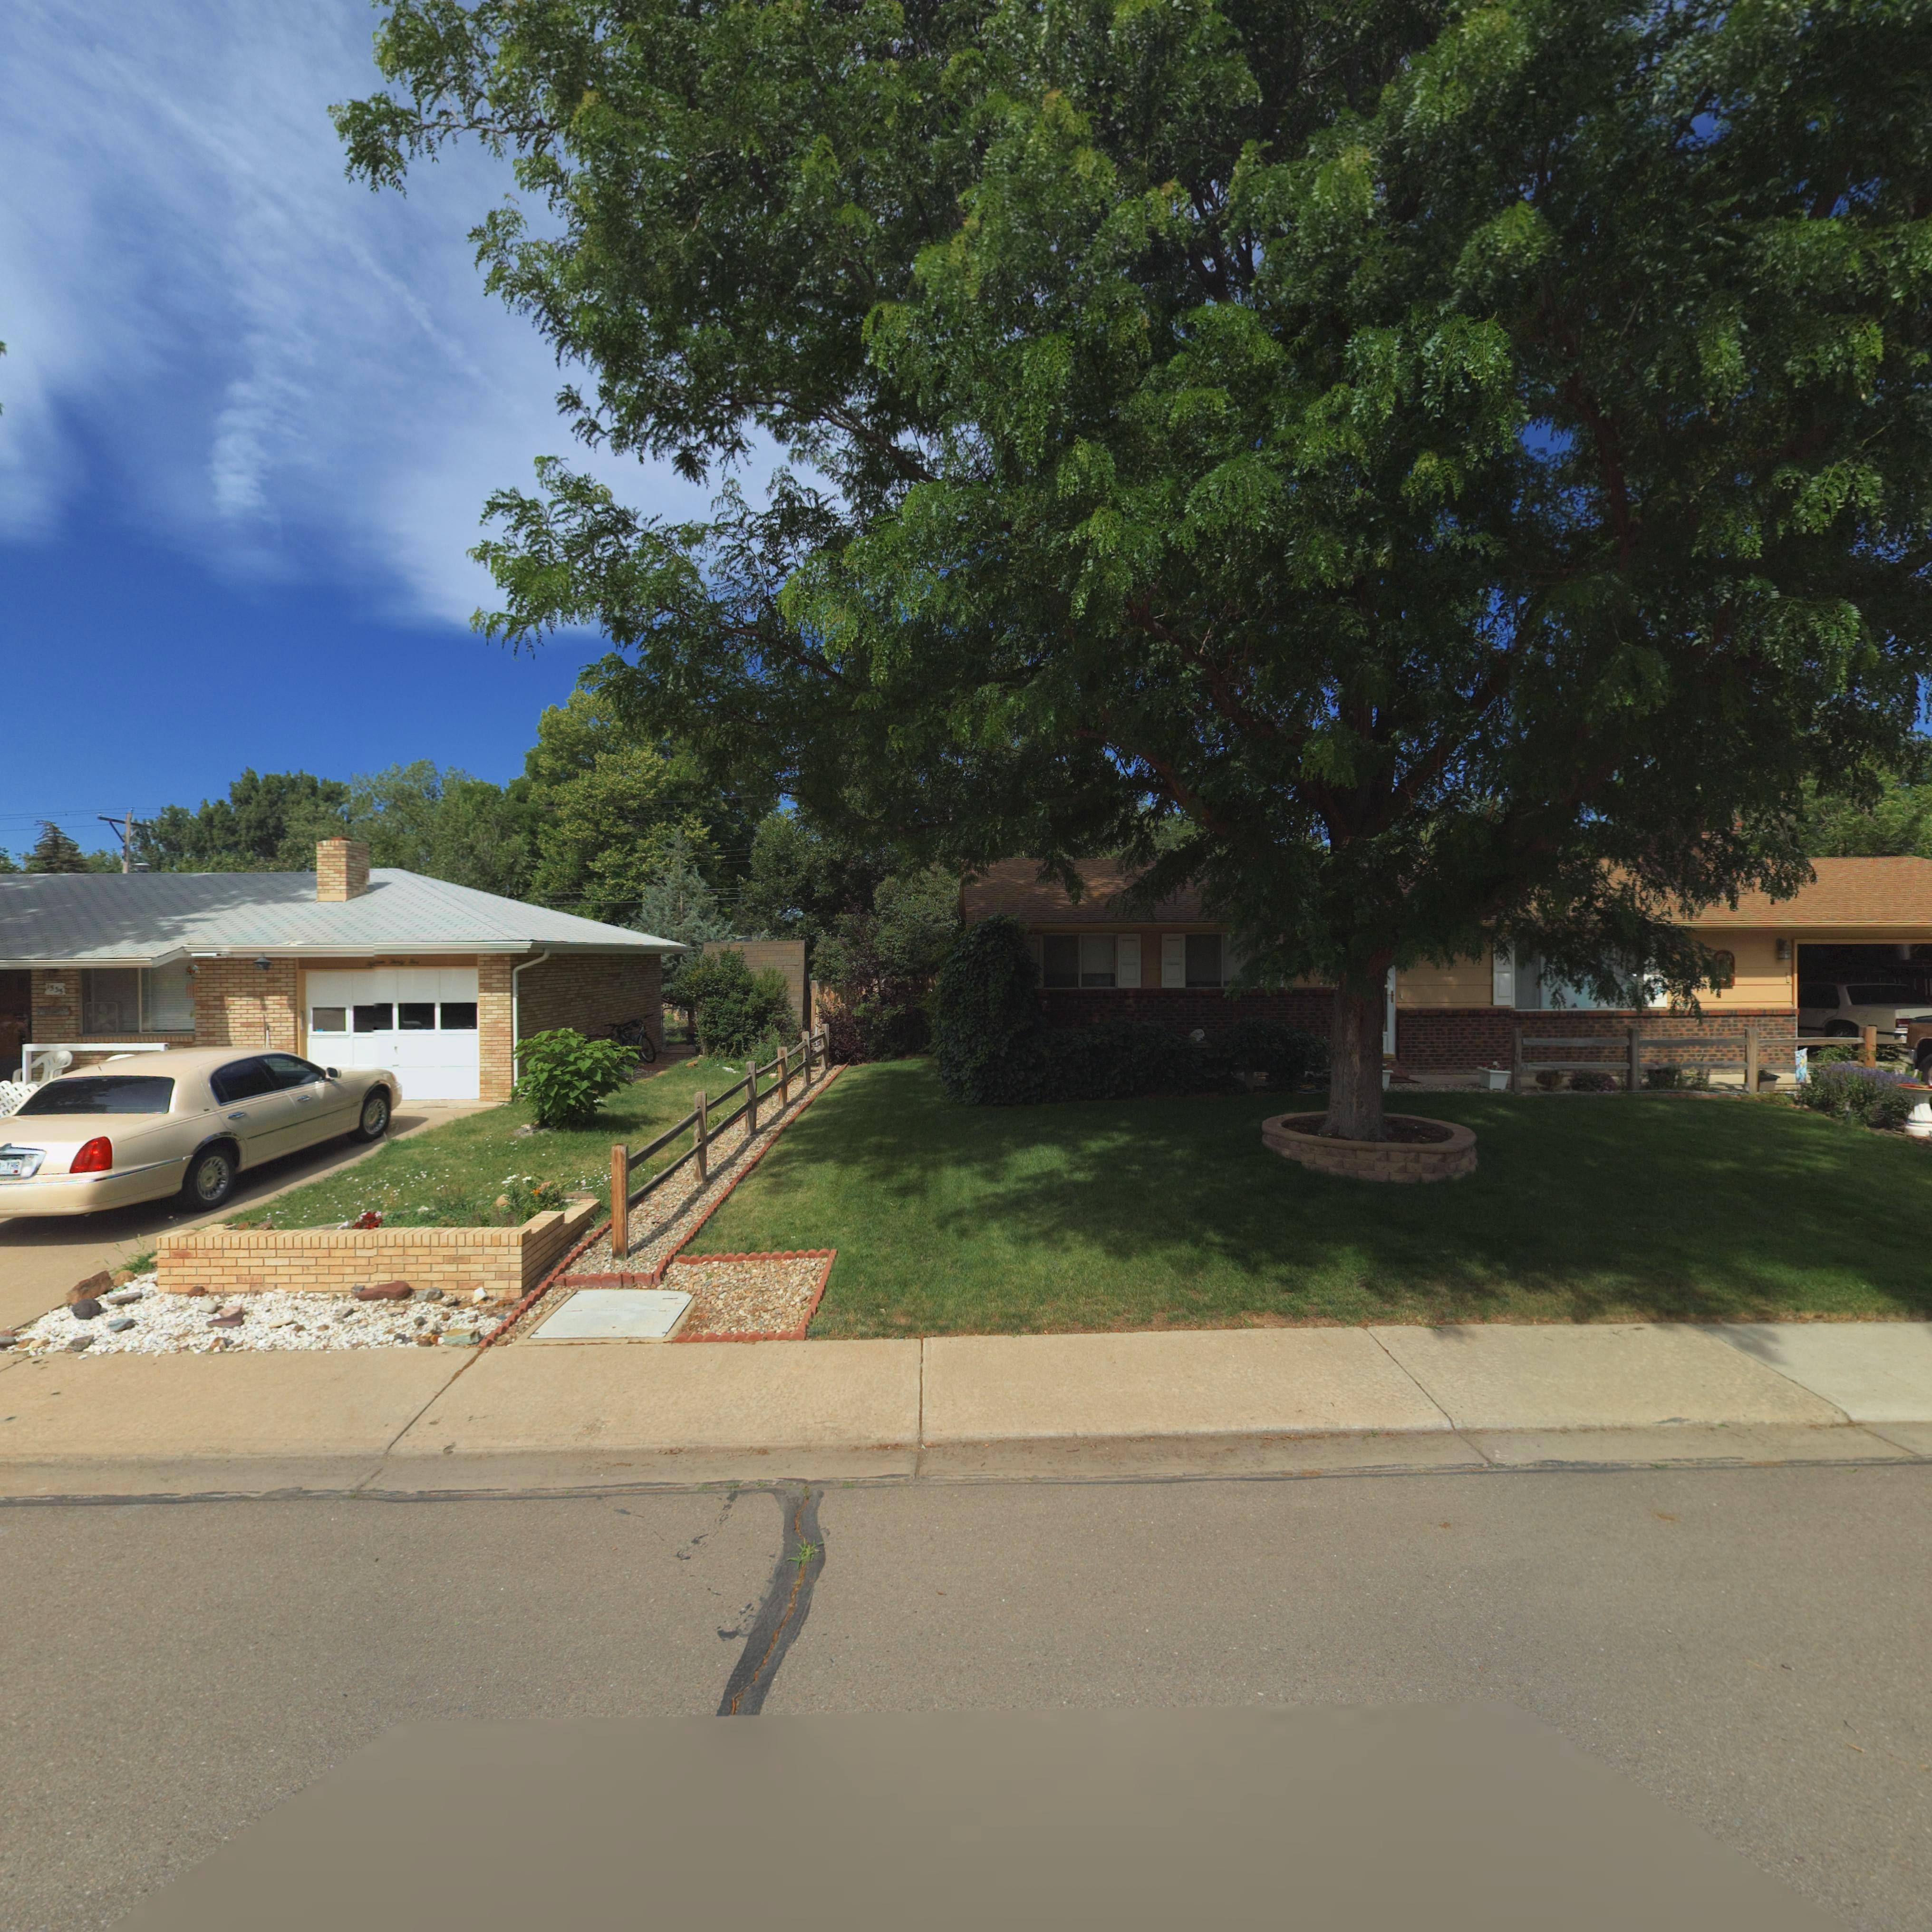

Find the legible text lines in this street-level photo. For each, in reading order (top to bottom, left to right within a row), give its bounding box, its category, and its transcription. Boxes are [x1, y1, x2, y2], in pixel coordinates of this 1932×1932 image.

[47, 983, 63, 995] StreetNumber: 1535